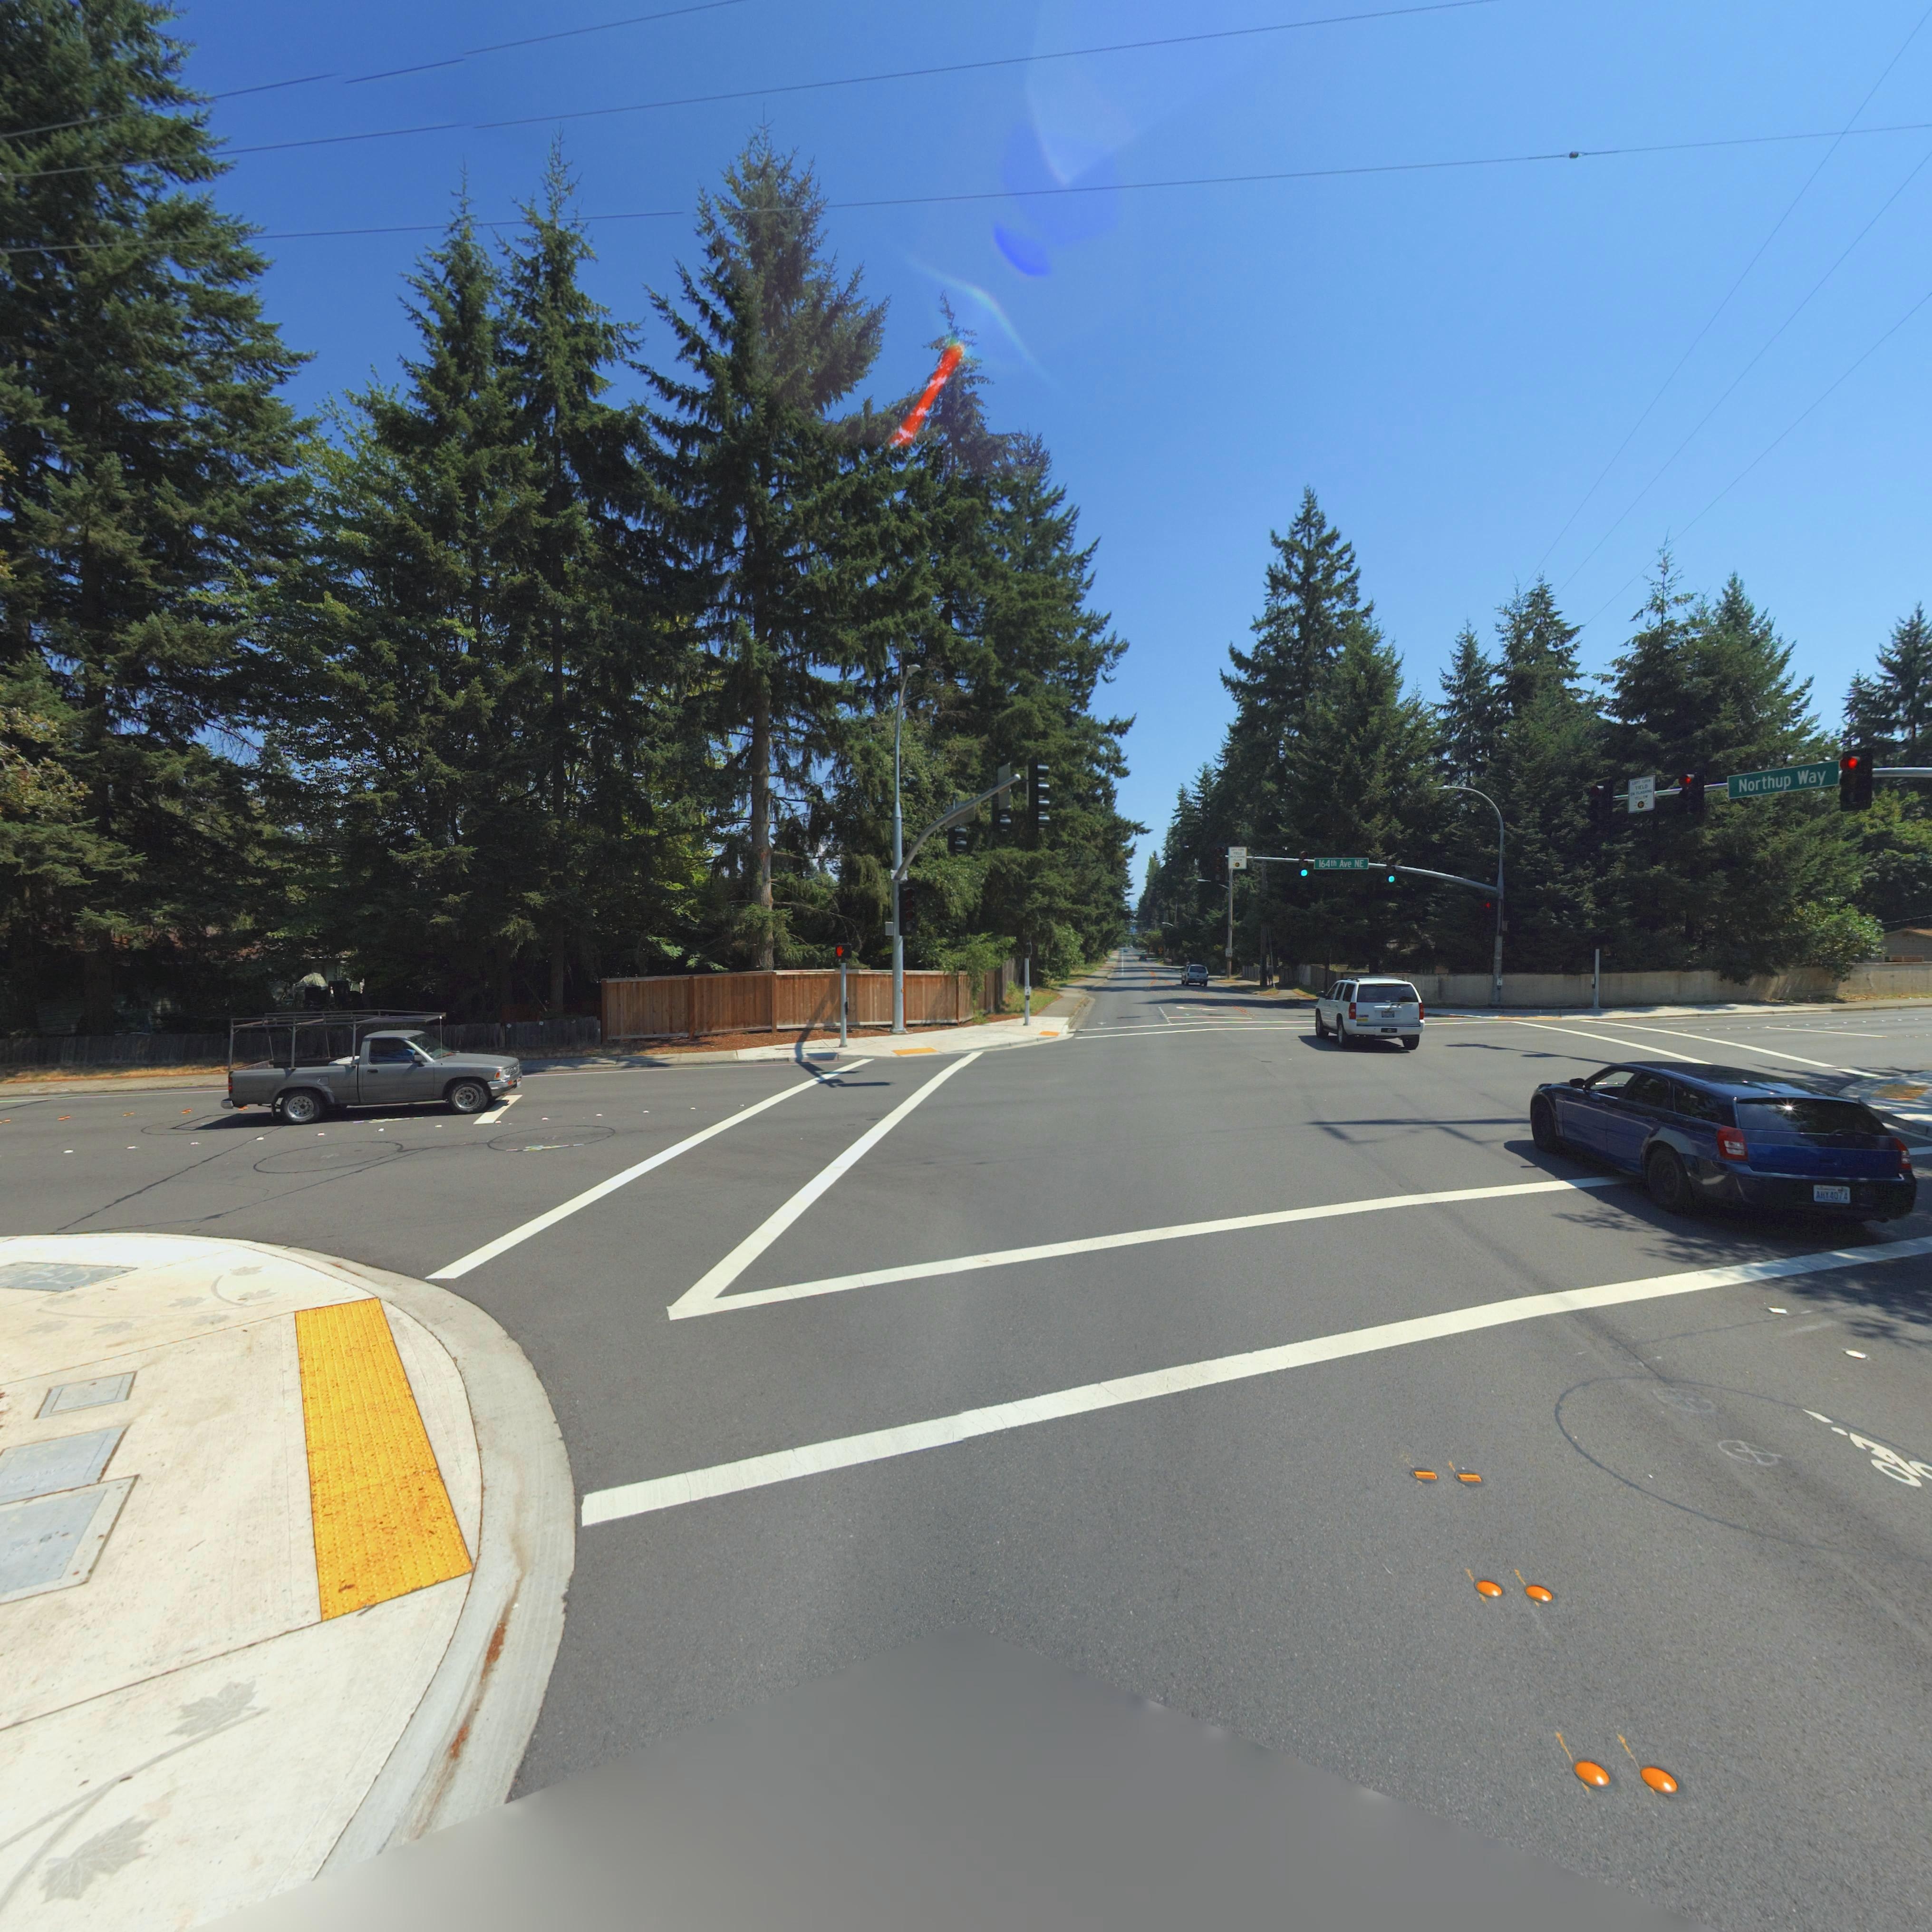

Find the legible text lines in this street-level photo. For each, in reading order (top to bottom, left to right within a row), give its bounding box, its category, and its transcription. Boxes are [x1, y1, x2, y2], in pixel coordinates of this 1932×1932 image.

[1738, 770, 1827, 792] StreetName: Northup Way
[1318, 859, 1364, 868] StreetName: 164th Ave NE